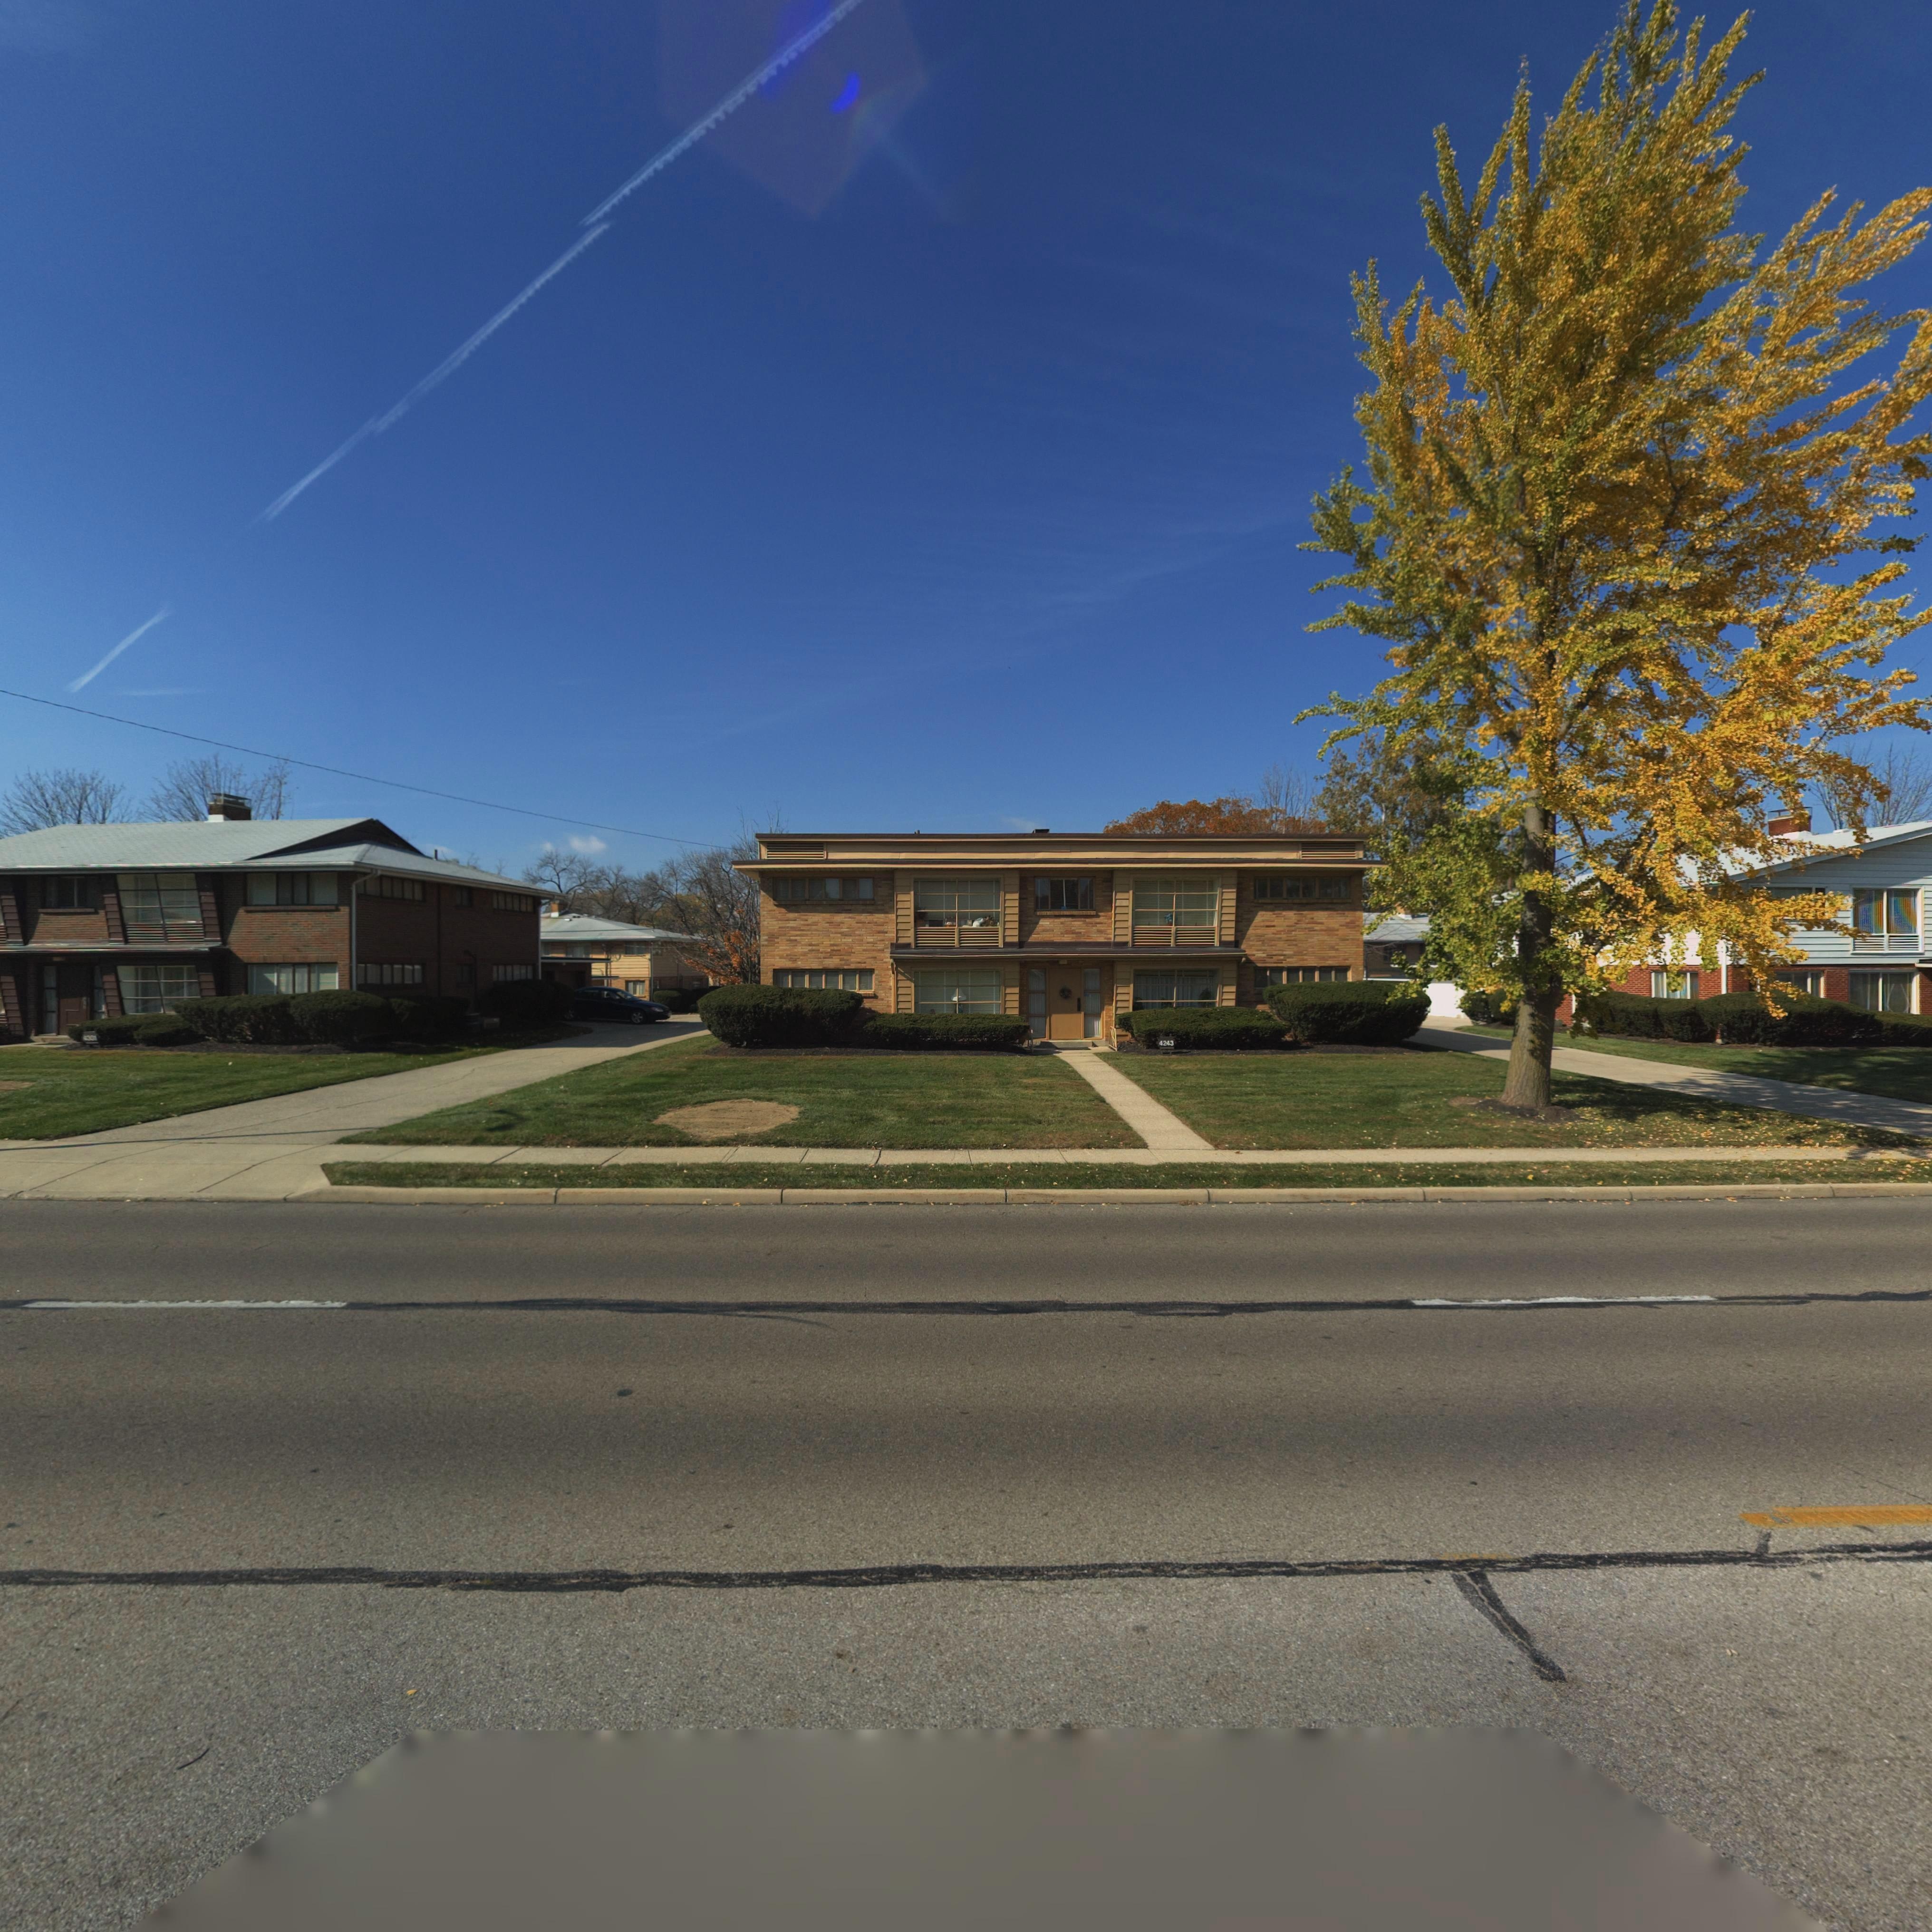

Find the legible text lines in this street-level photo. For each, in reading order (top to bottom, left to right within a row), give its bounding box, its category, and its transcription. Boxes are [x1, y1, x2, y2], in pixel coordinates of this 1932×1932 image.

[82, 1034, 99, 1042] StreetNumber: *30*
[1158, 1039, 1175, 1047] StreetNumber: 4243